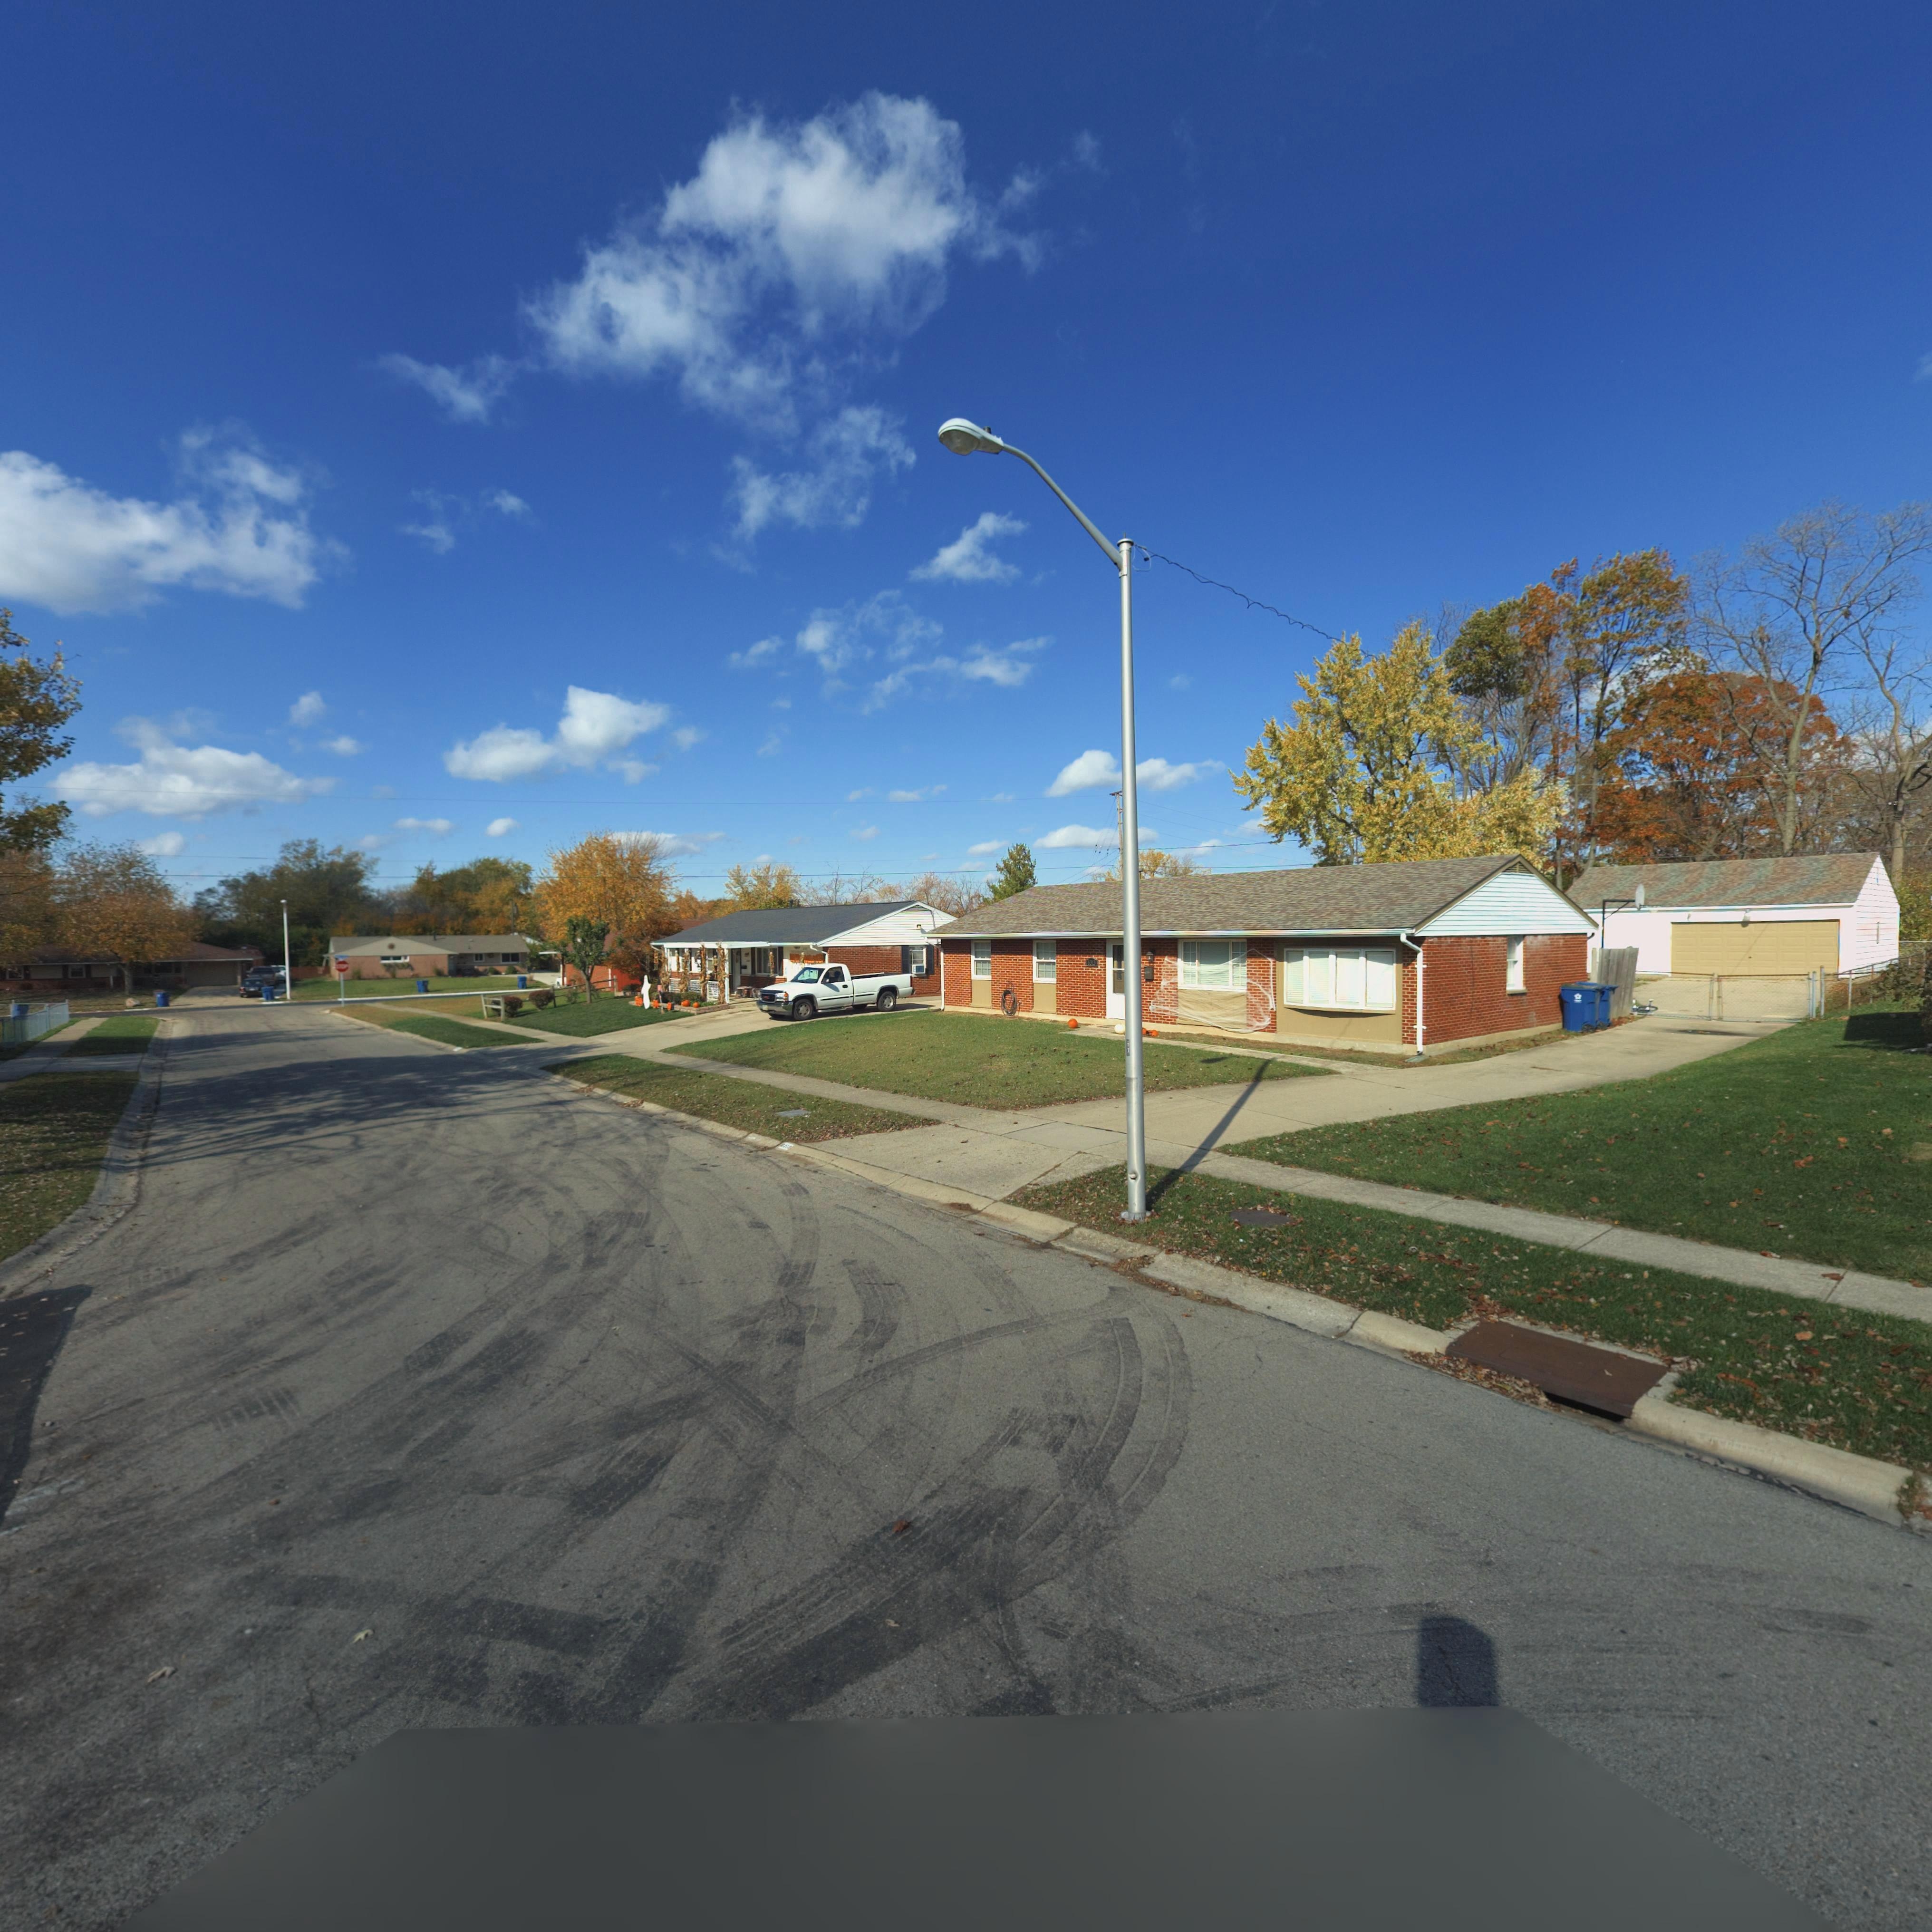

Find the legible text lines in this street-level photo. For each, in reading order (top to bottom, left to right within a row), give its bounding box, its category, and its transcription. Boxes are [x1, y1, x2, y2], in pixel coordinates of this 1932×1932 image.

[1087, 960, 1096, 965] StreetNumber: 6**3